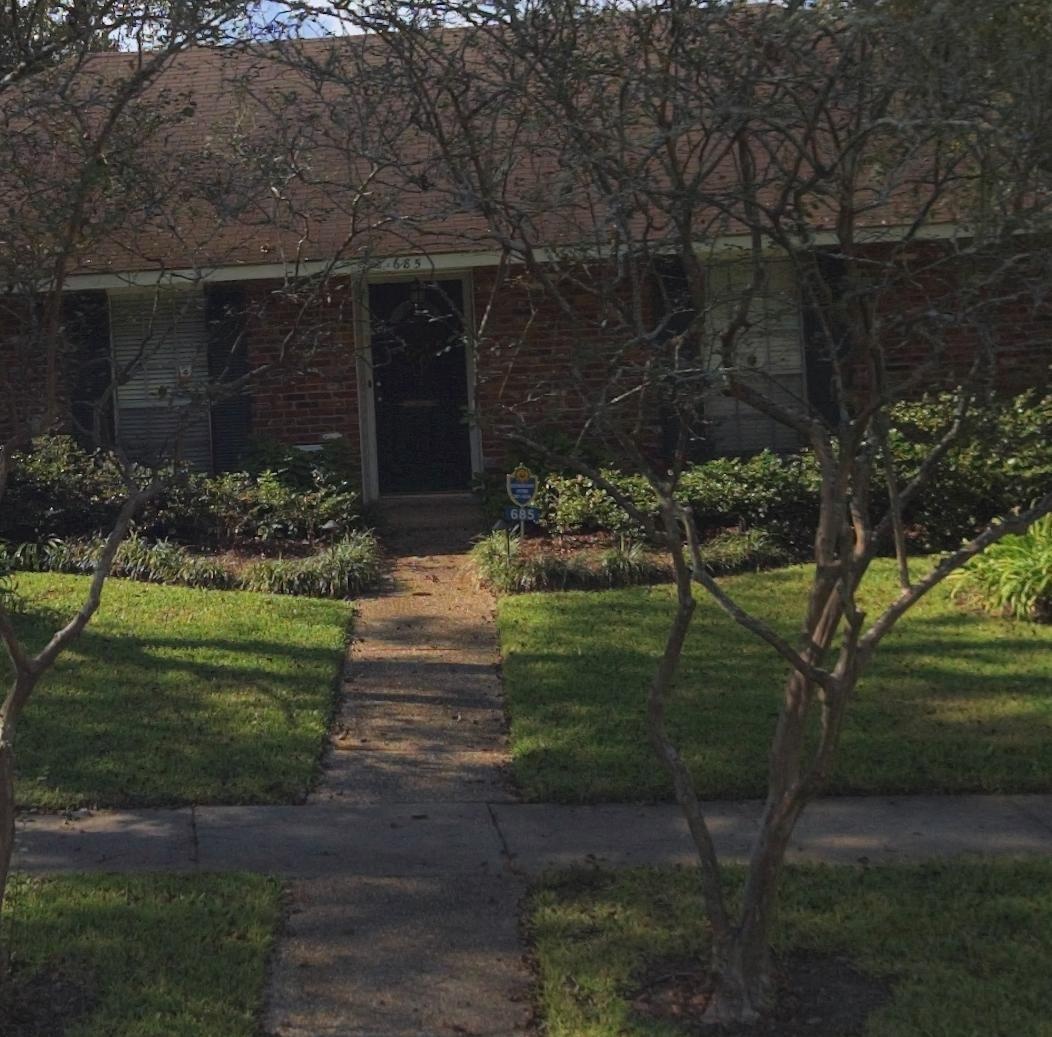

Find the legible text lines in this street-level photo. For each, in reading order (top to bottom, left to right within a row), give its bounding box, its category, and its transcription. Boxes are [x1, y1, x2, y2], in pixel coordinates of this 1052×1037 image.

[510, 508, 535, 520] StreetNumber: 685